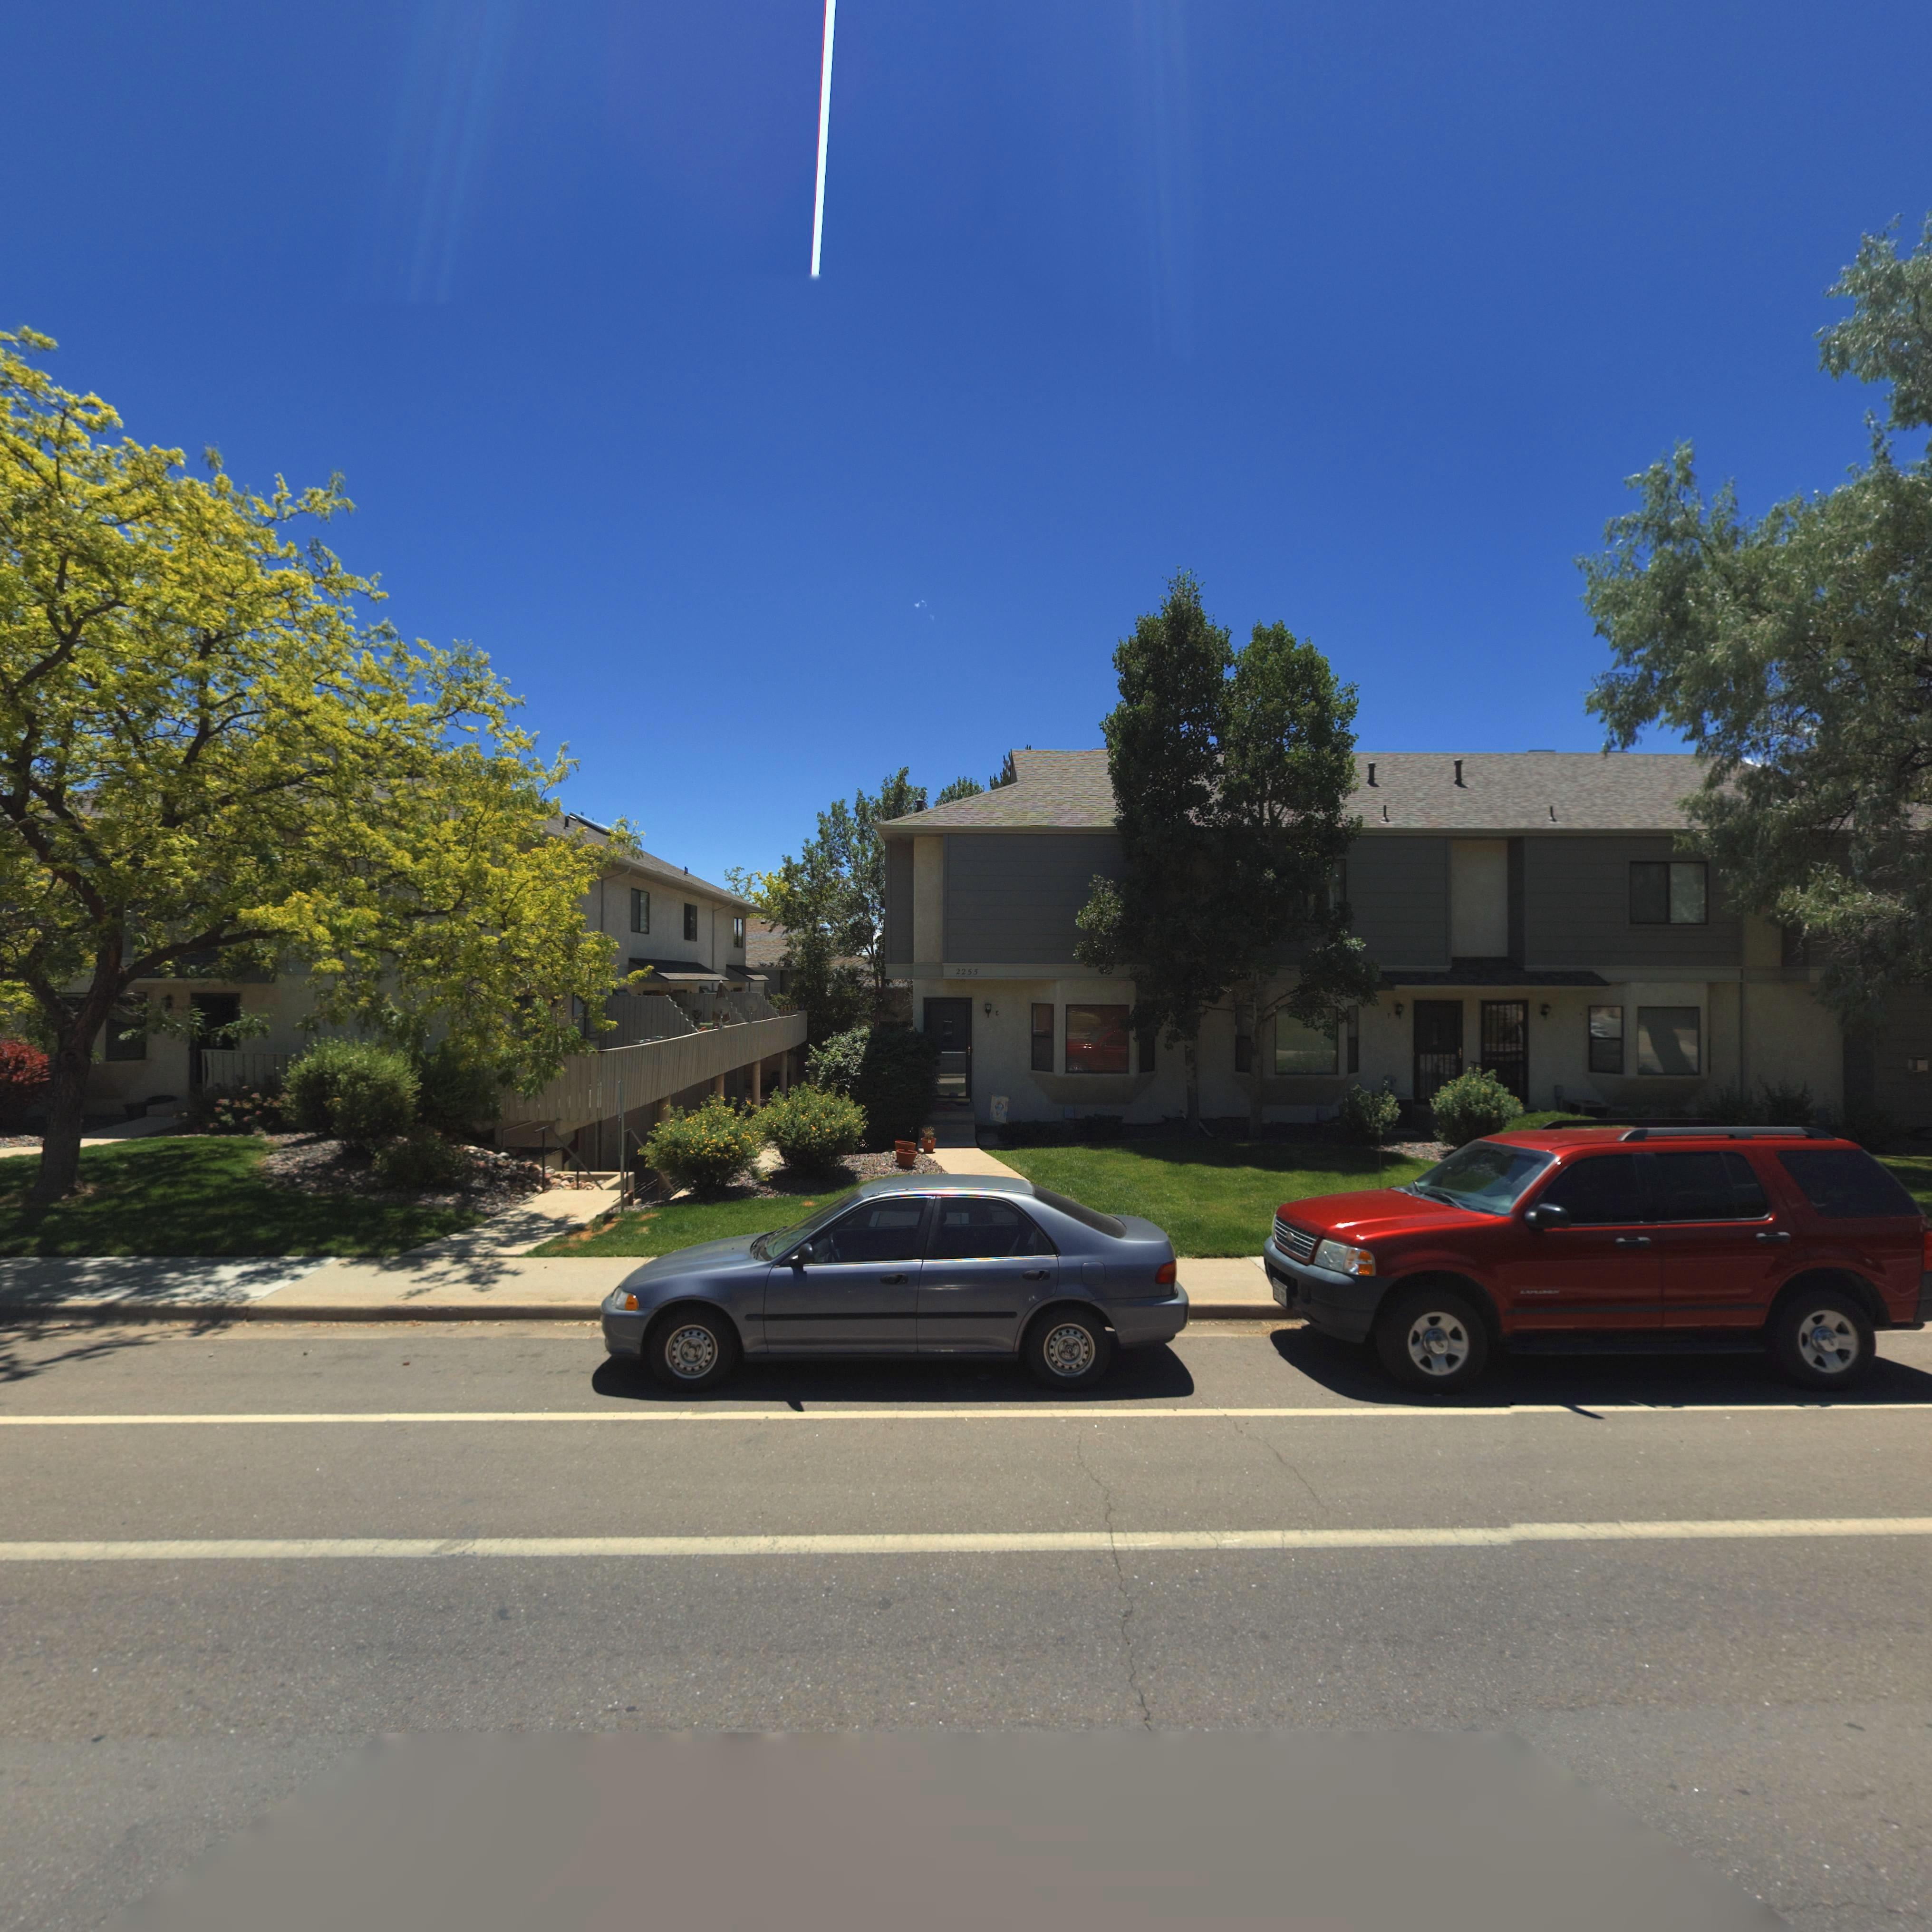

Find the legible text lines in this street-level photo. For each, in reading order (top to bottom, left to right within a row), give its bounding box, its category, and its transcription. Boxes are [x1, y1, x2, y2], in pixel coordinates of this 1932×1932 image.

[955, 967, 978, 975] StreetNumber: 2255